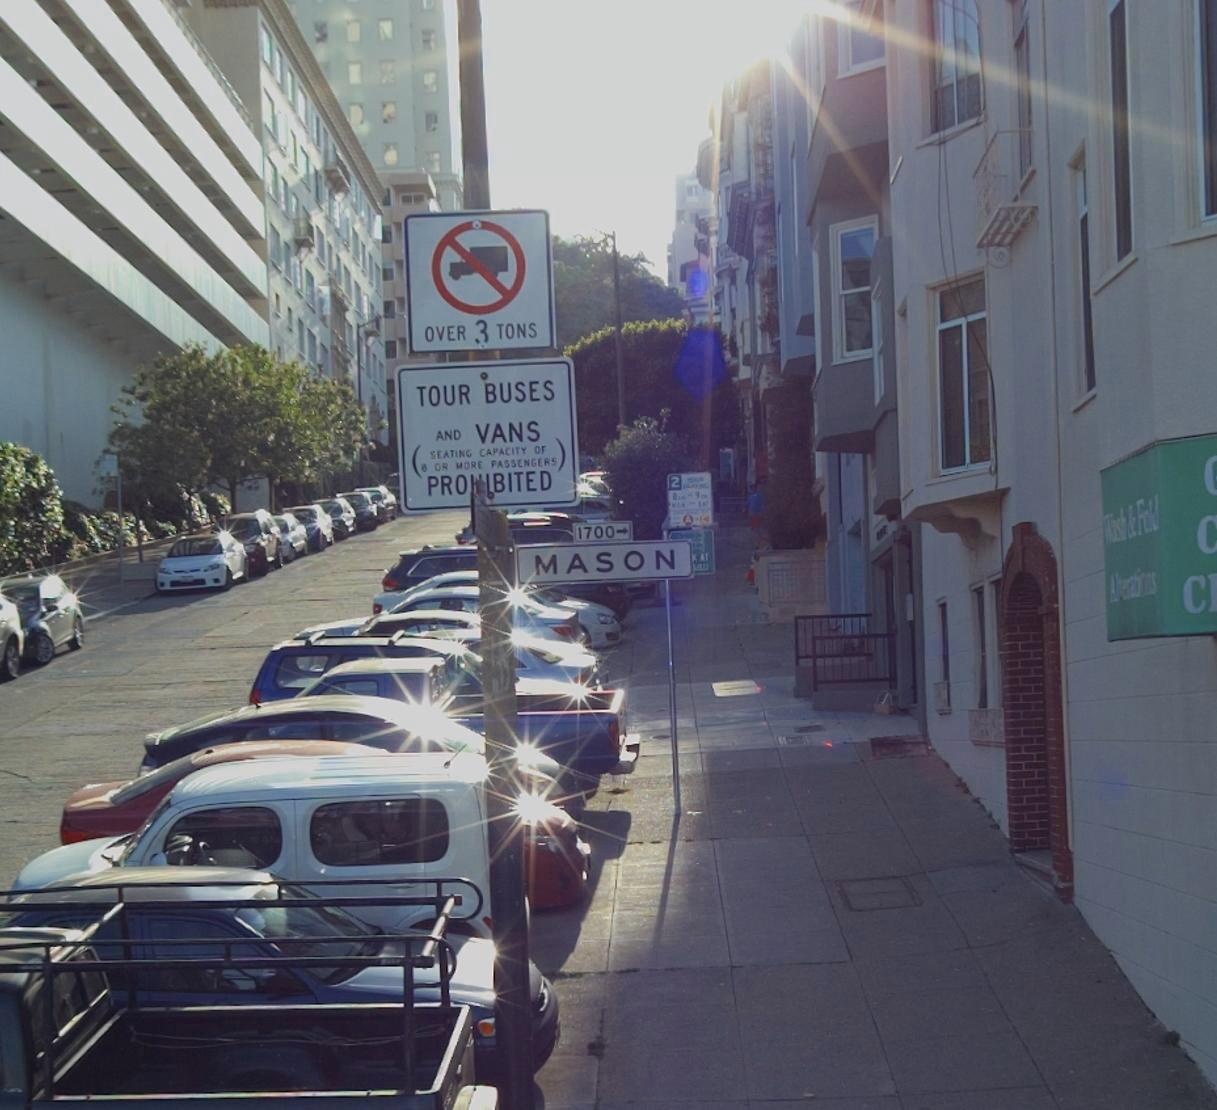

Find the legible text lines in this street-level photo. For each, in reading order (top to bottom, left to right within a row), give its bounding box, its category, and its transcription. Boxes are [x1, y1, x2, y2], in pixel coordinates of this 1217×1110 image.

[421, 315, 541, 350] None: OVER 3 TONS
[412, 377, 559, 410] None: TOUR BUSES
[431, 416, 546, 448] None: AND VANS
[427, 443, 549, 462] None: SEATING CAPACITY OF
[418, 454, 560, 475] None: 8 OR MORE PASSENGERS
[425, 467, 556, 499] None: PRO*IBITED
[668, 473, 682, 490] None: 2
[574, 523, 632, 542] StreetNumberRange: 1700->
[531, 546, 678, 579] StreetName: MASON
[1180, 571, 1209, 617] None: C